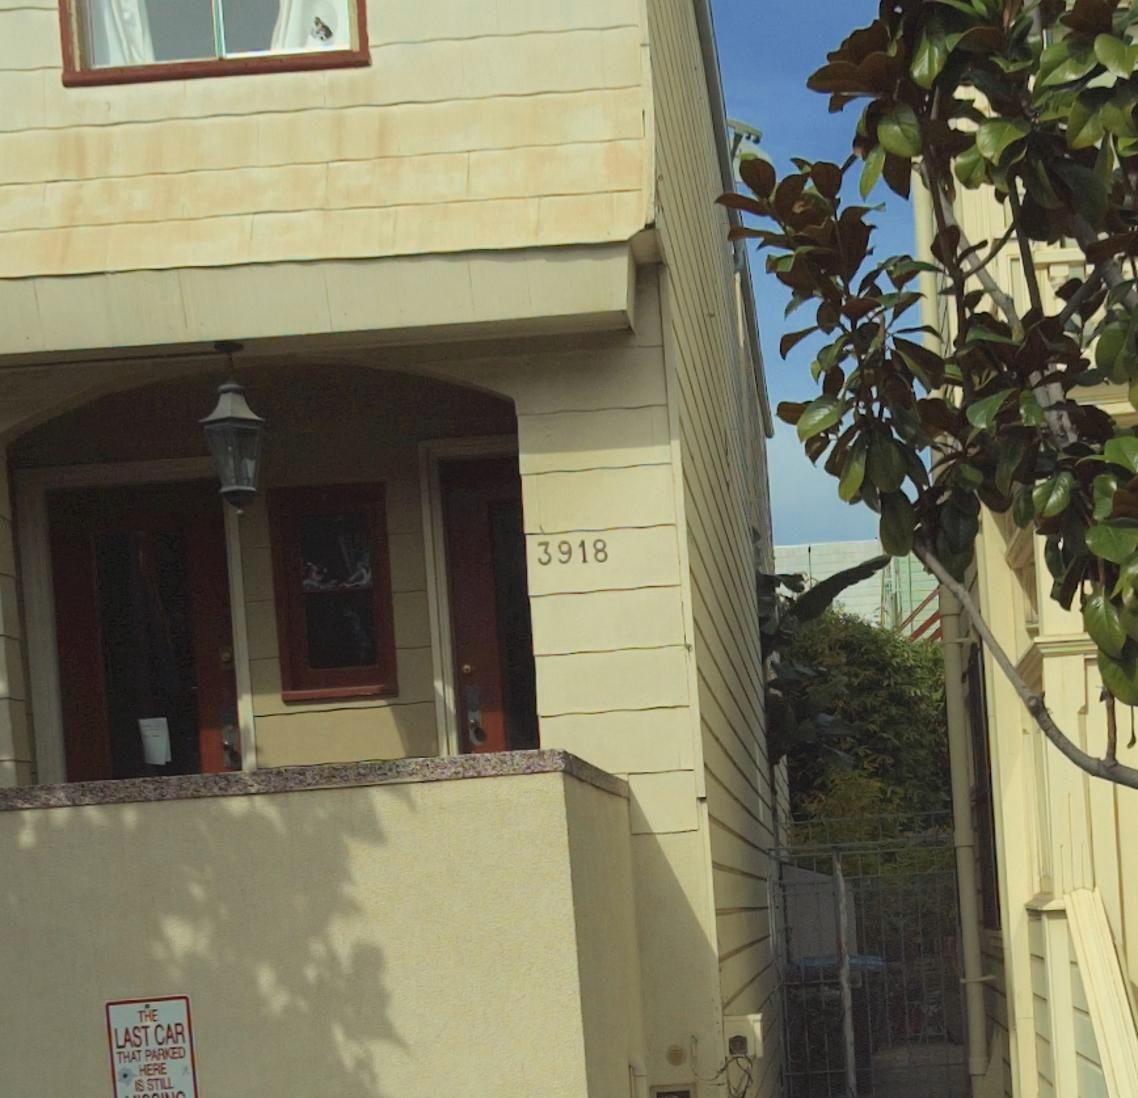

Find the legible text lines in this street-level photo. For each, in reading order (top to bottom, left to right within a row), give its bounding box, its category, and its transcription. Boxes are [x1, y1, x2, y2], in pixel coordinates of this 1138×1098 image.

[535, 538, 609, 567] StreetNumber: 3918
[136, 1008, 159, 1023] None: THE
[113, 1021, 188, 1050] None: LAST CAR
[116, 1046, 187, 1064] None: THAT PARKED
[137, 1061, 169, 1077] None: HERE
[133, 1075, 175, 1093] None: IS STILL